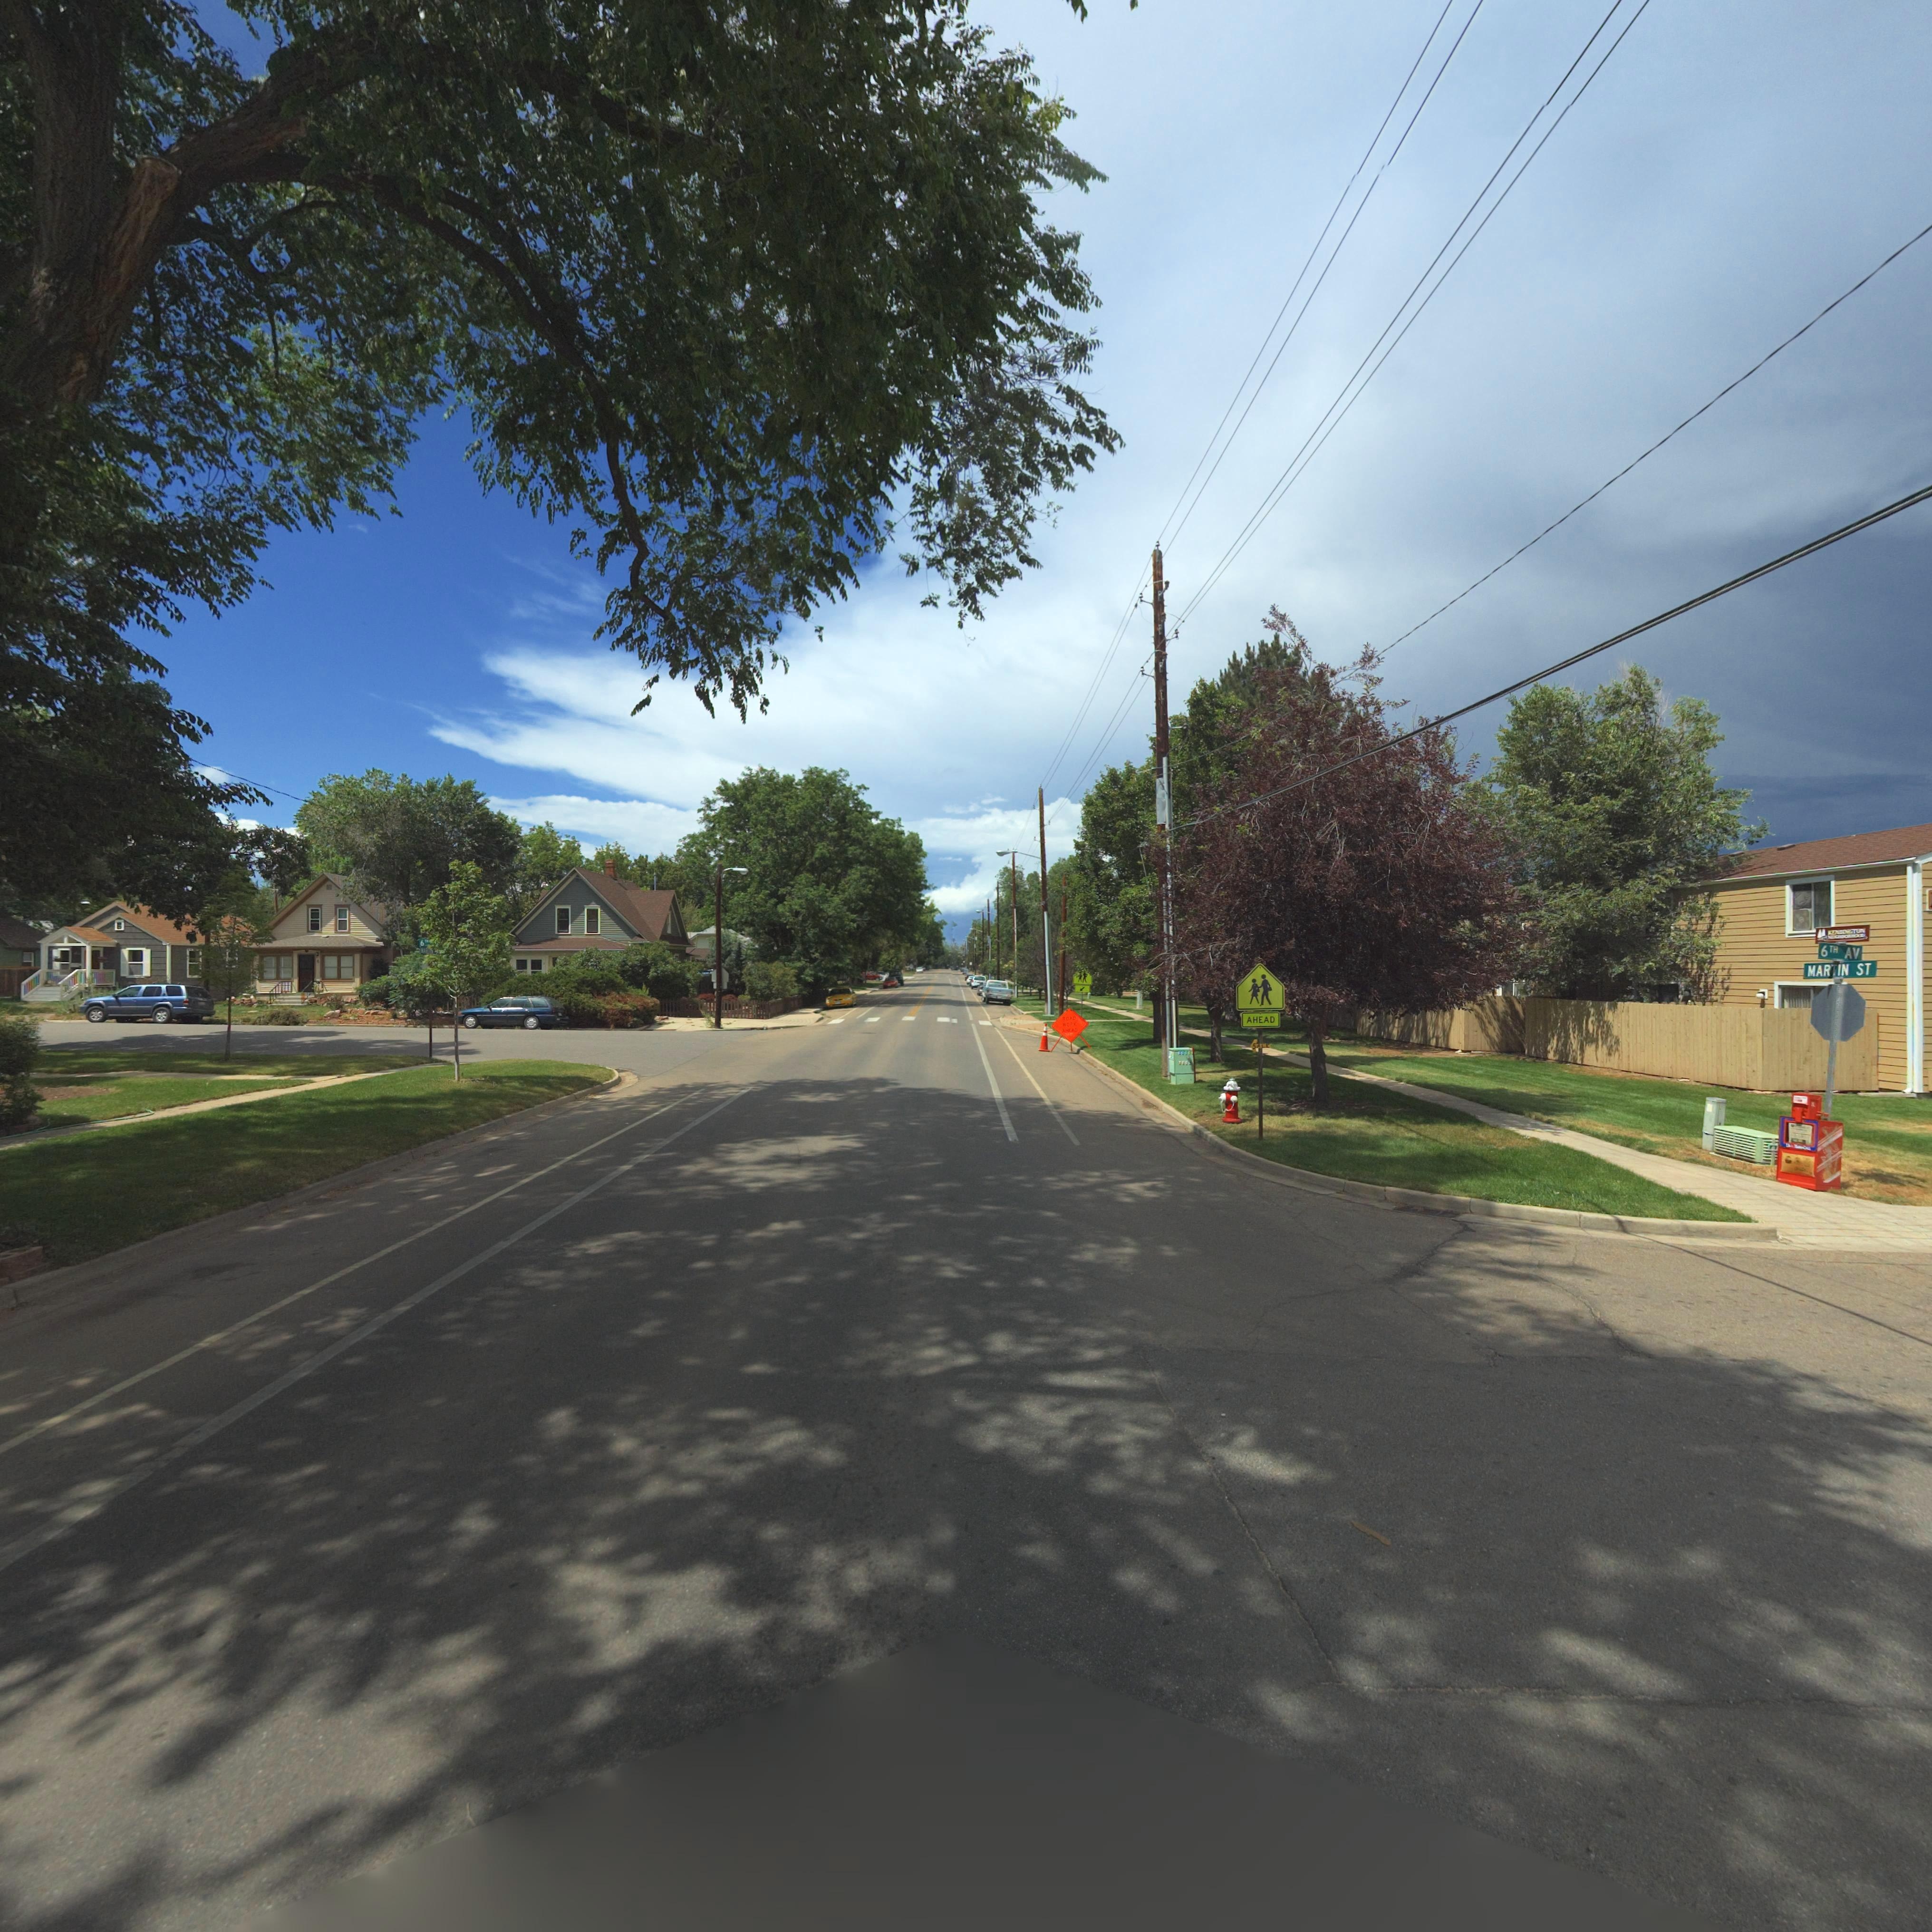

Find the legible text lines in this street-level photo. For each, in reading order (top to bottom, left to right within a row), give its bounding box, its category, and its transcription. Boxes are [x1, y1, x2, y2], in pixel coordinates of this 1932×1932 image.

[420, 939, 430, 947] StreetName: 6**
[420, 947, 433, 954] StreetName: M****N
[1820, 944, 1861, 960] StreetName: 6TH AV
[1806, 962, 1872, 977] StreetName: MARTIN ST